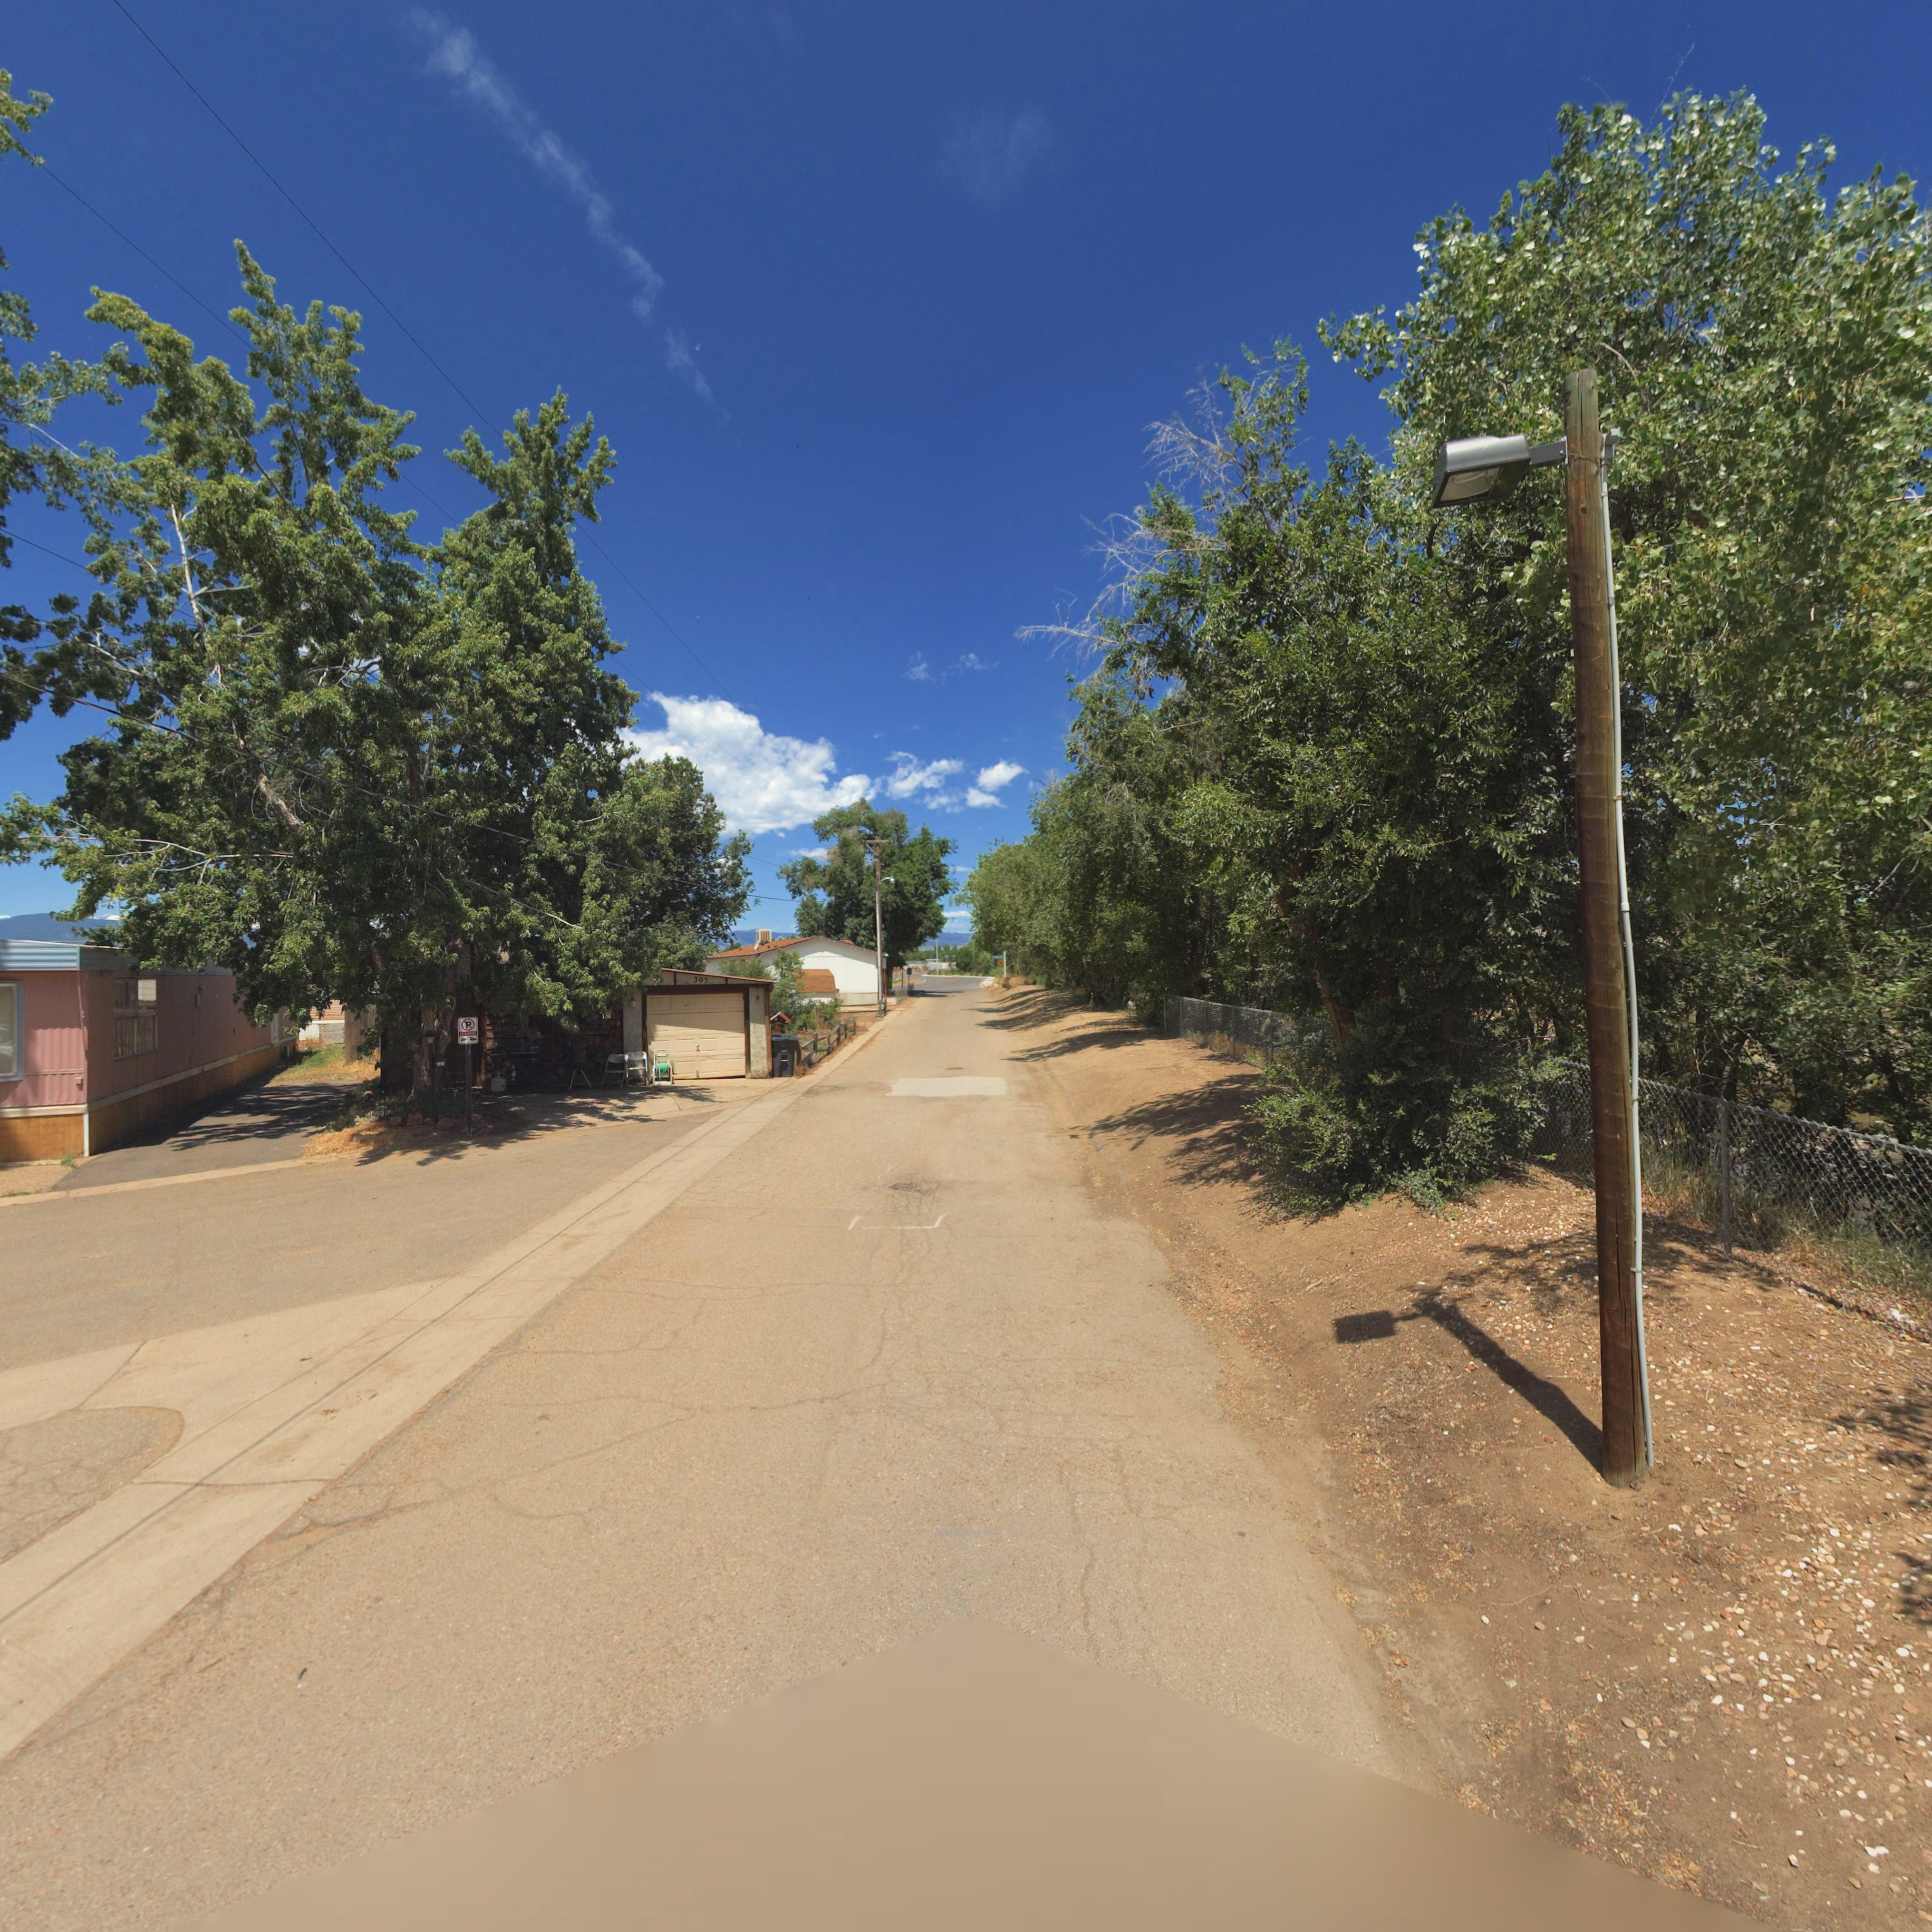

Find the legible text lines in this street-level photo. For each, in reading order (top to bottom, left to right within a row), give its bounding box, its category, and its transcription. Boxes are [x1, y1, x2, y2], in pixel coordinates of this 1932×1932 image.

[693, 976, 708, 984] StreetNumber: 303
[437, 1062, 444, 1065] StreetNumber: 1*1